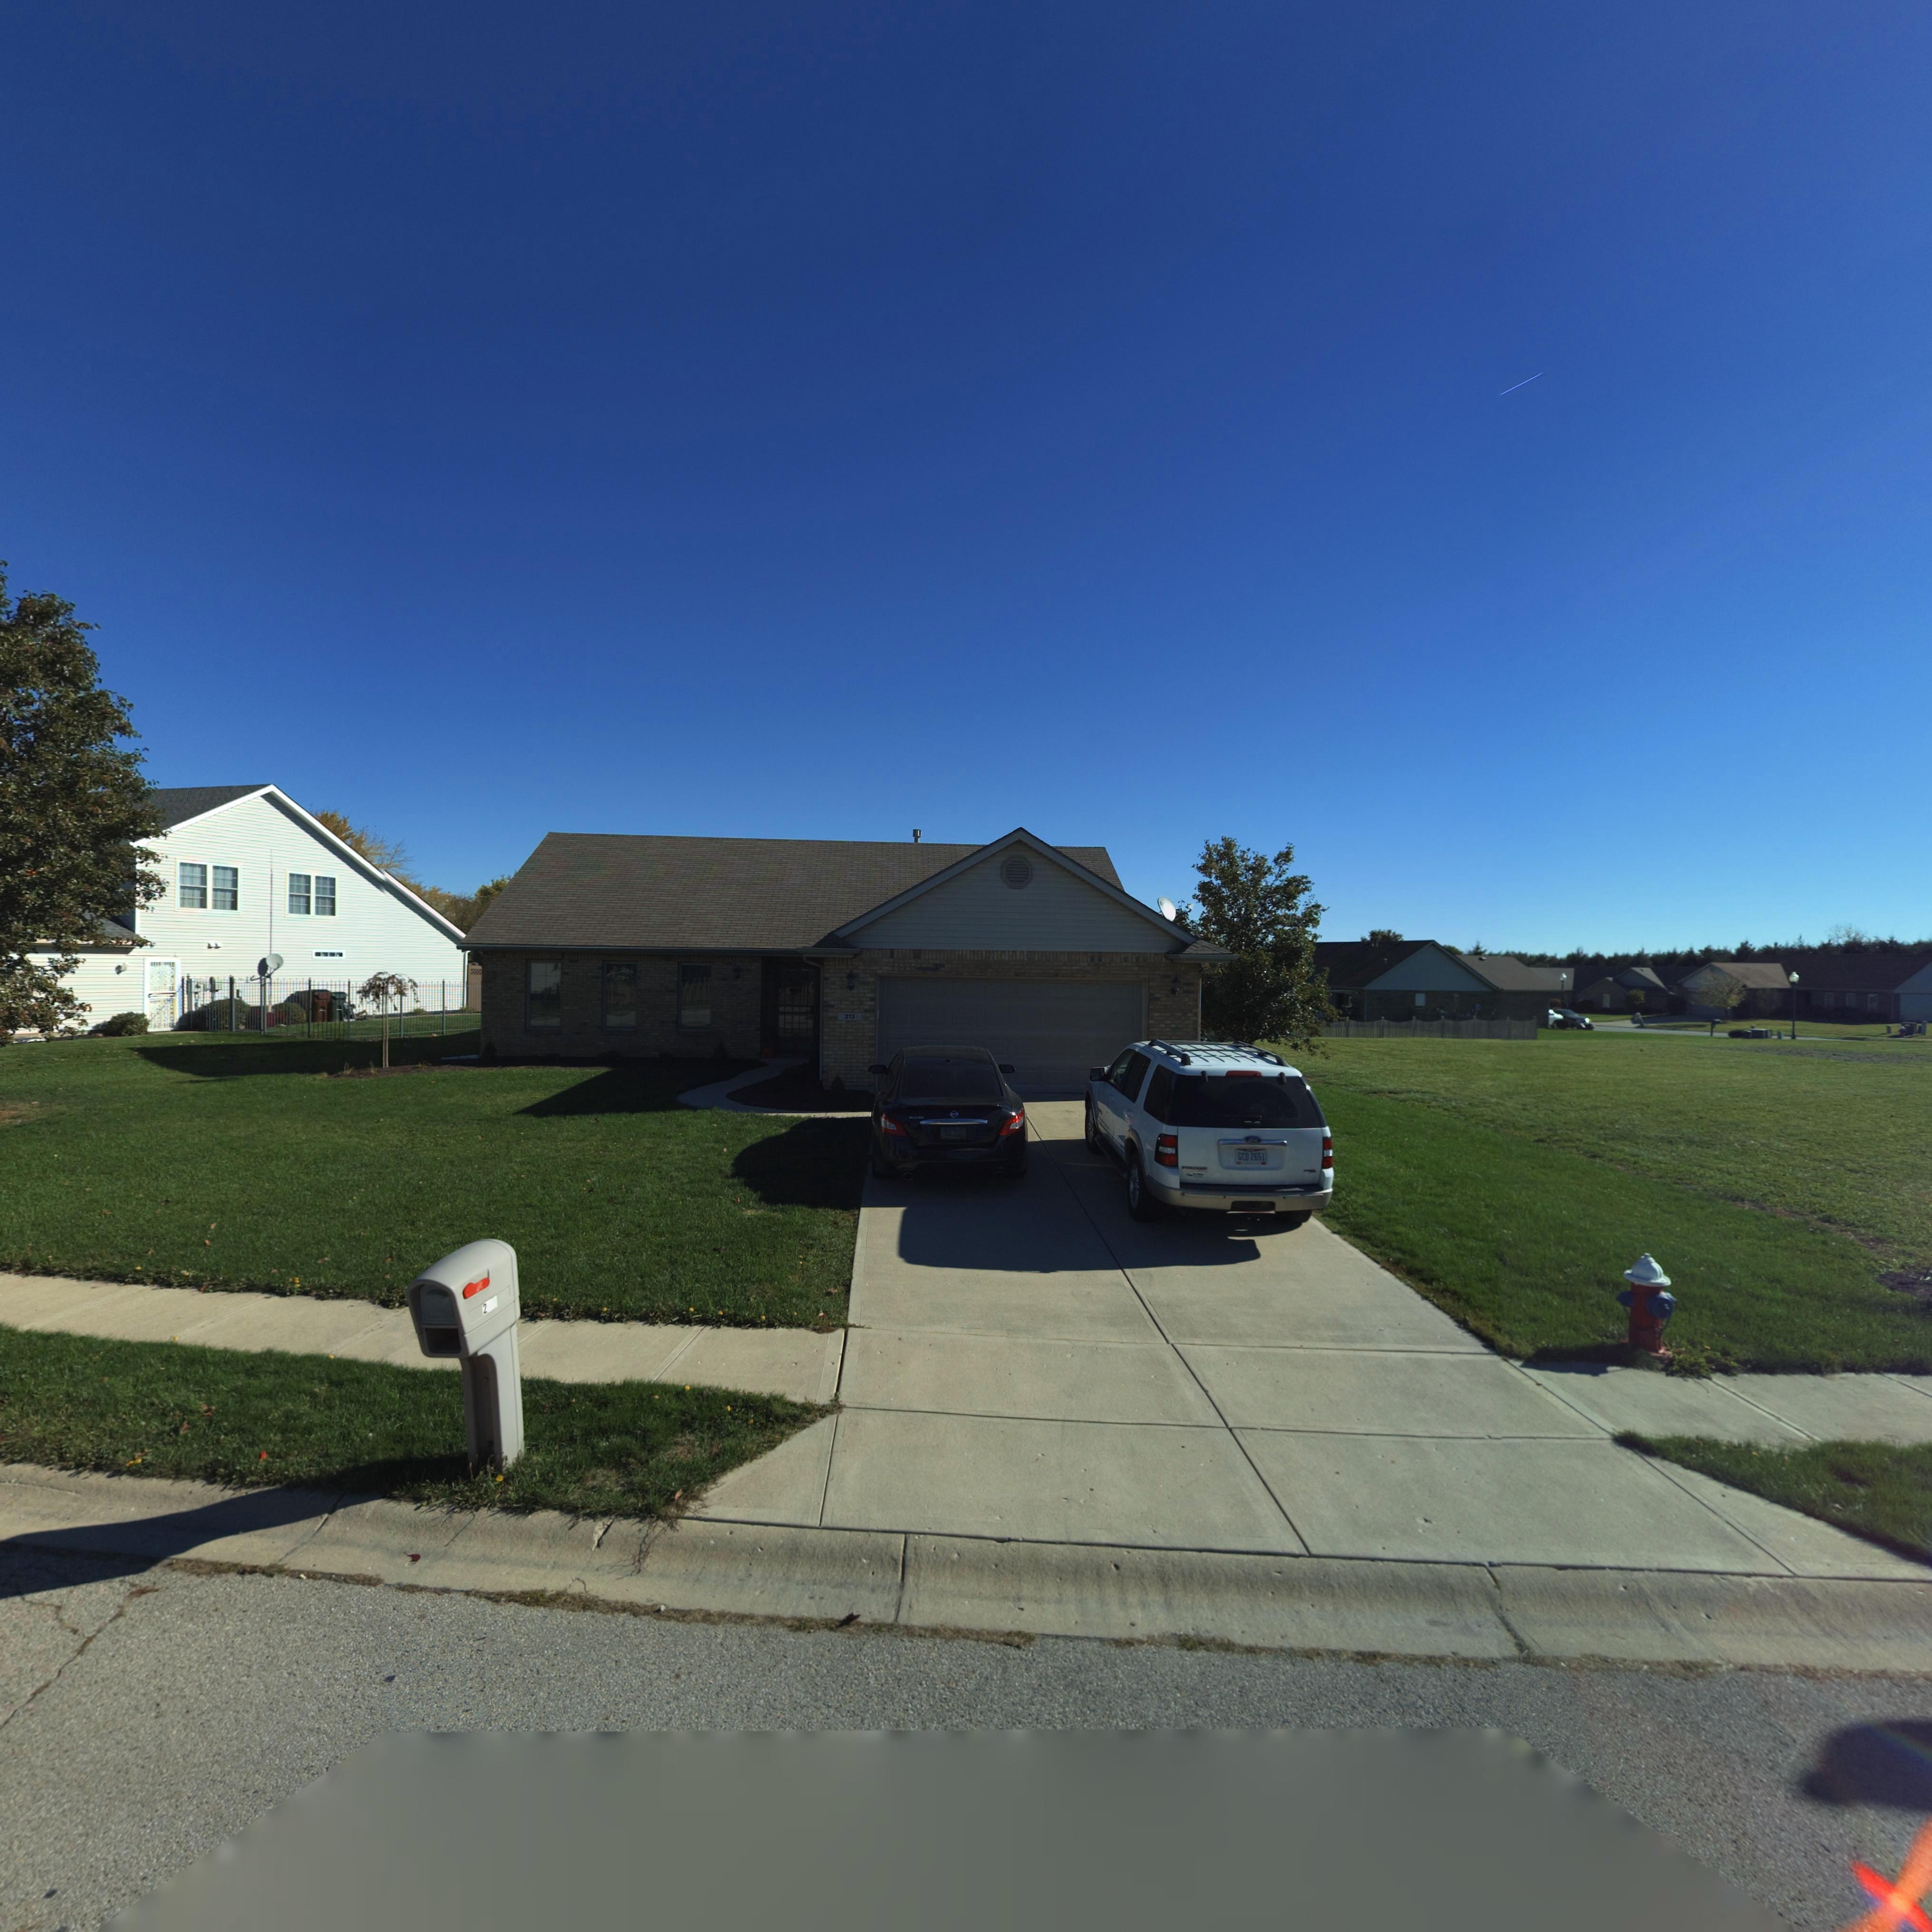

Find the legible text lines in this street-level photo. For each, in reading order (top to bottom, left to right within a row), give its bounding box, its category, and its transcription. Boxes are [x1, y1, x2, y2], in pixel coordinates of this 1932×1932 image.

[844, 1014, 855, 1020] StreetNumber: 213
[1236, 1151, 1265, 1162] None: GCD 2651
[482, 1302, 488, 1315] StreetNumber: 2